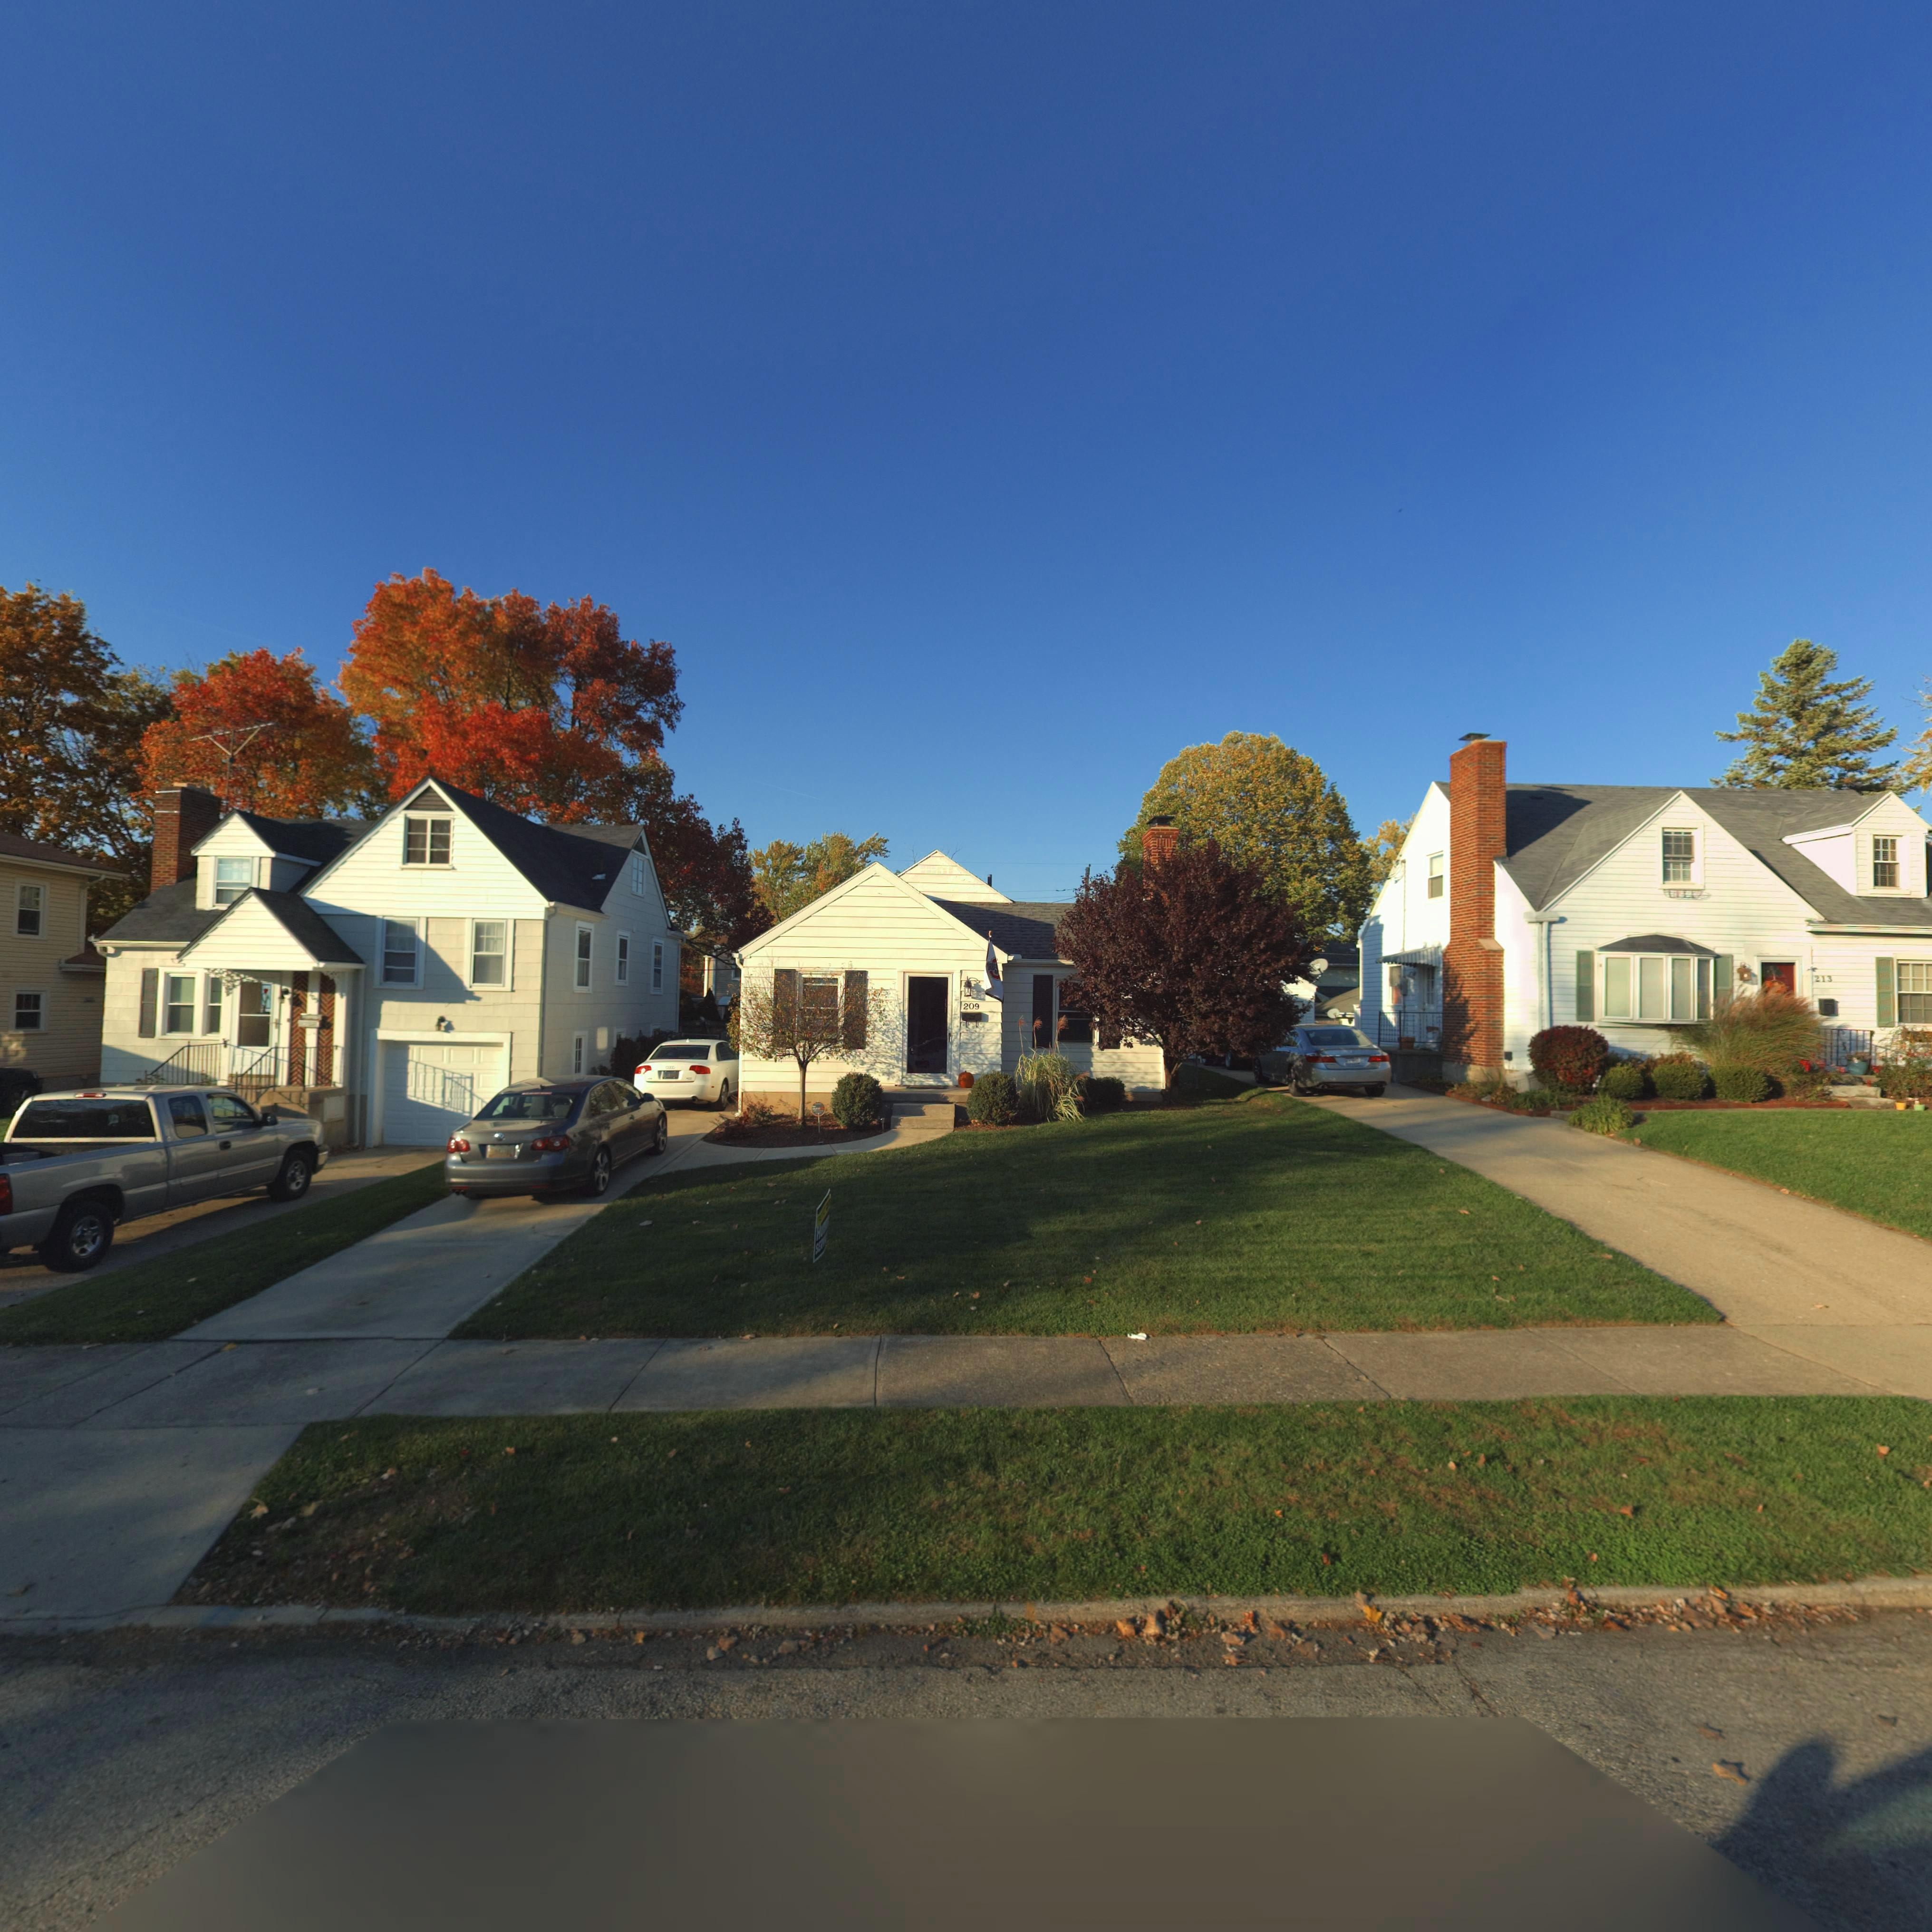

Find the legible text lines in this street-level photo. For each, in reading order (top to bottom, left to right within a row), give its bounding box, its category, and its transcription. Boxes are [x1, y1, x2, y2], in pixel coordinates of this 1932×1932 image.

[1814, 975, 1833, 983] StreetNumber: 213
[308, 990, 319, 1004] StreetNumber: 20*
[963, 1002, 980, 1010] StreetNumber: 209